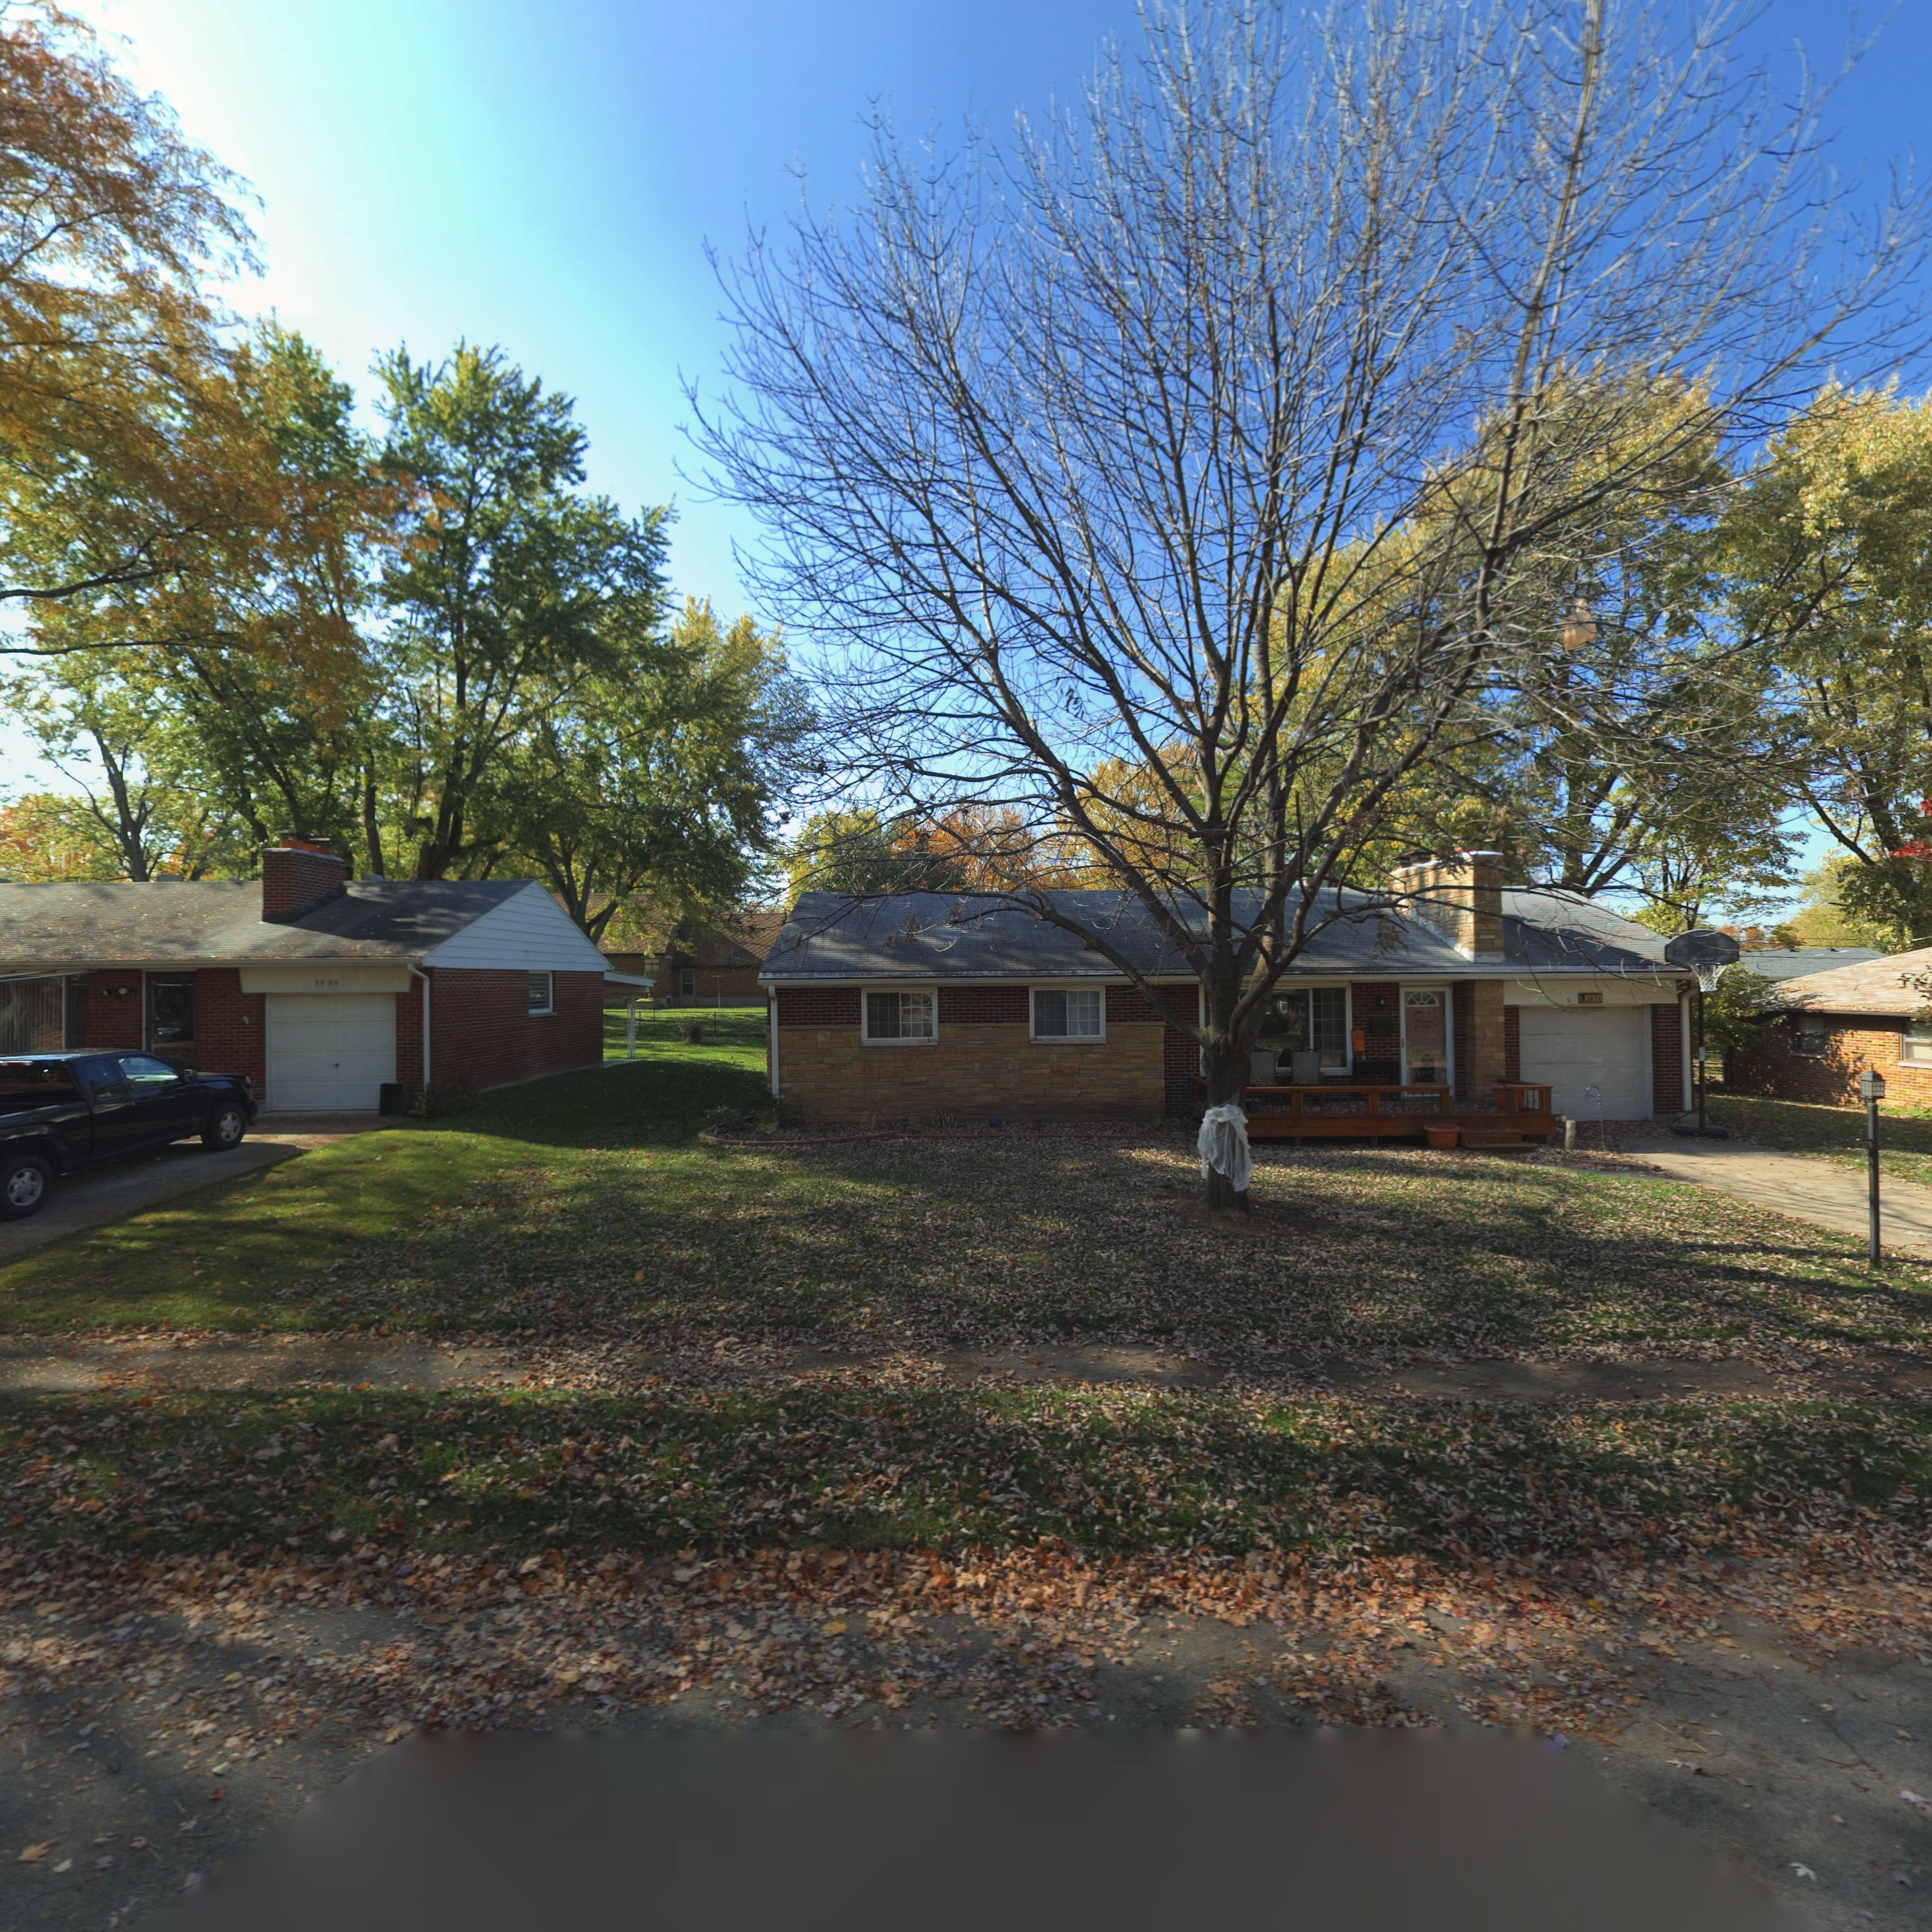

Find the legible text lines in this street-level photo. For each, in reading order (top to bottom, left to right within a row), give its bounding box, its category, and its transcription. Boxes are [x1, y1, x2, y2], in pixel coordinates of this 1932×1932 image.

[314, 978, 339, 987] StreetNumber: 38 89
[1586, 995, 1602, 1002] StreetNumber: 3875